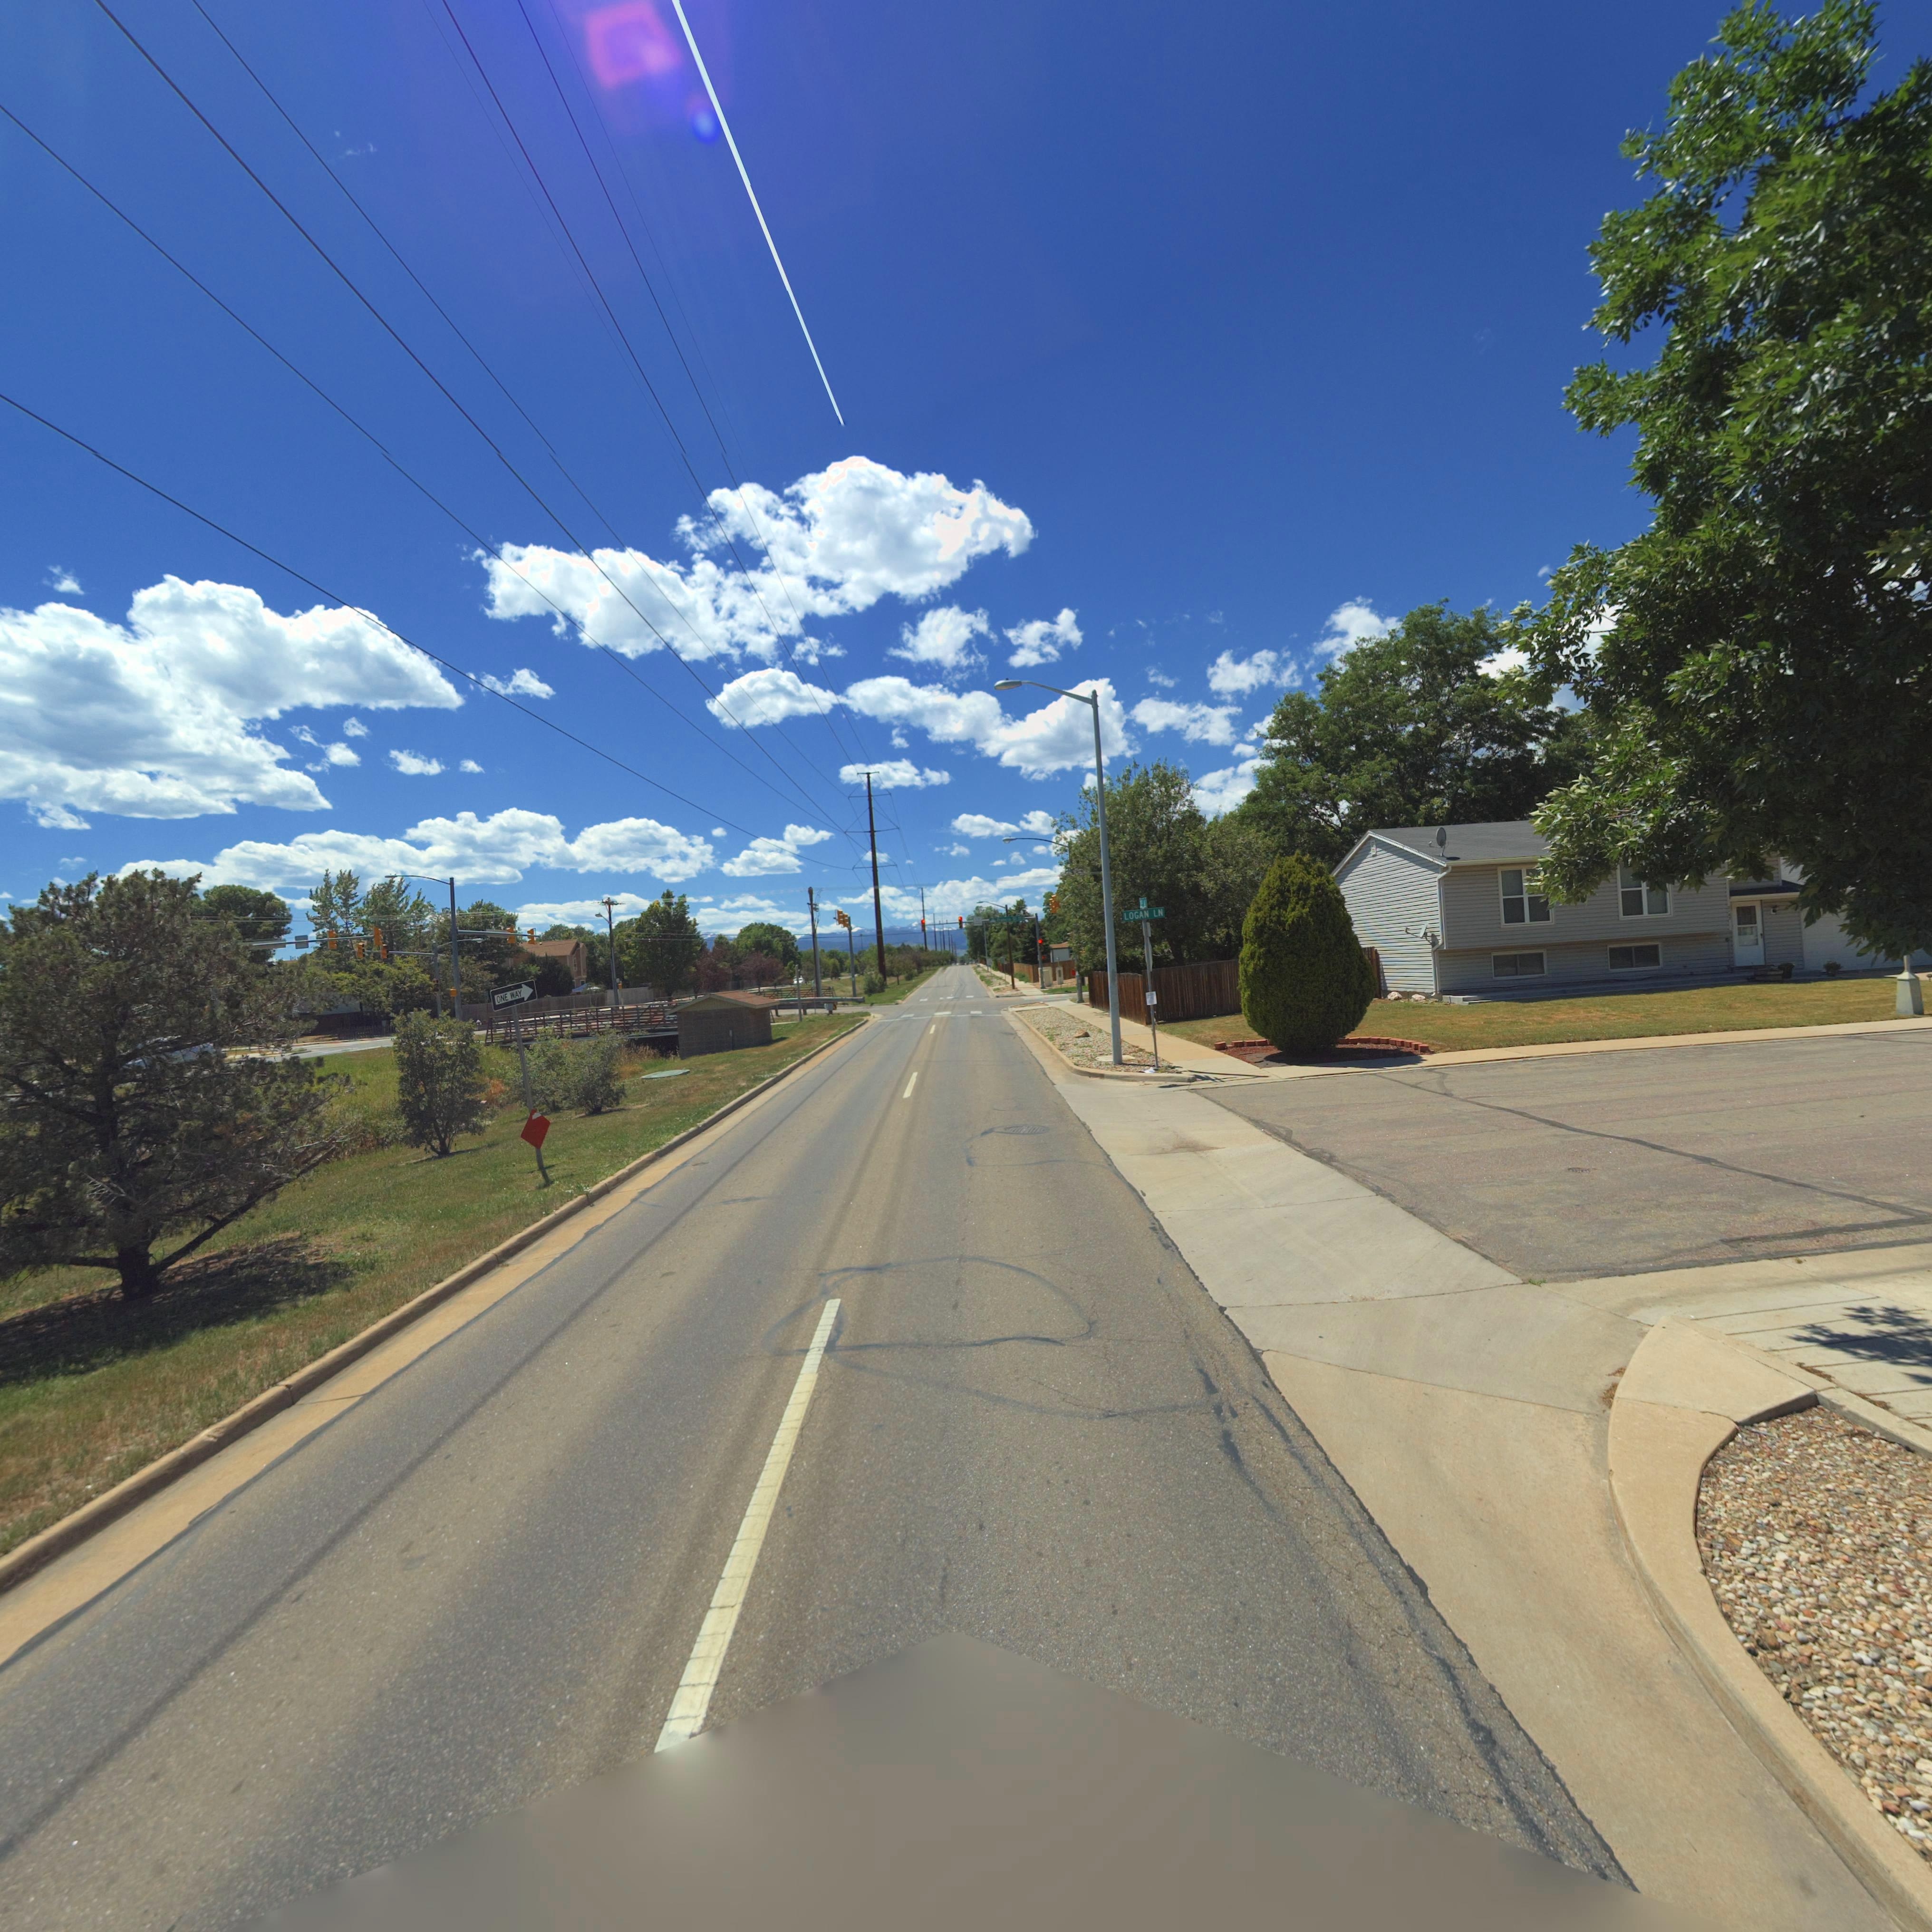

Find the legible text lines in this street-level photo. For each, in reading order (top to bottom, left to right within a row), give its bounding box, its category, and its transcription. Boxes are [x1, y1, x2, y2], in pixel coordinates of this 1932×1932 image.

[1124, 908, 1163, 920] StreetName: LOGAN LN